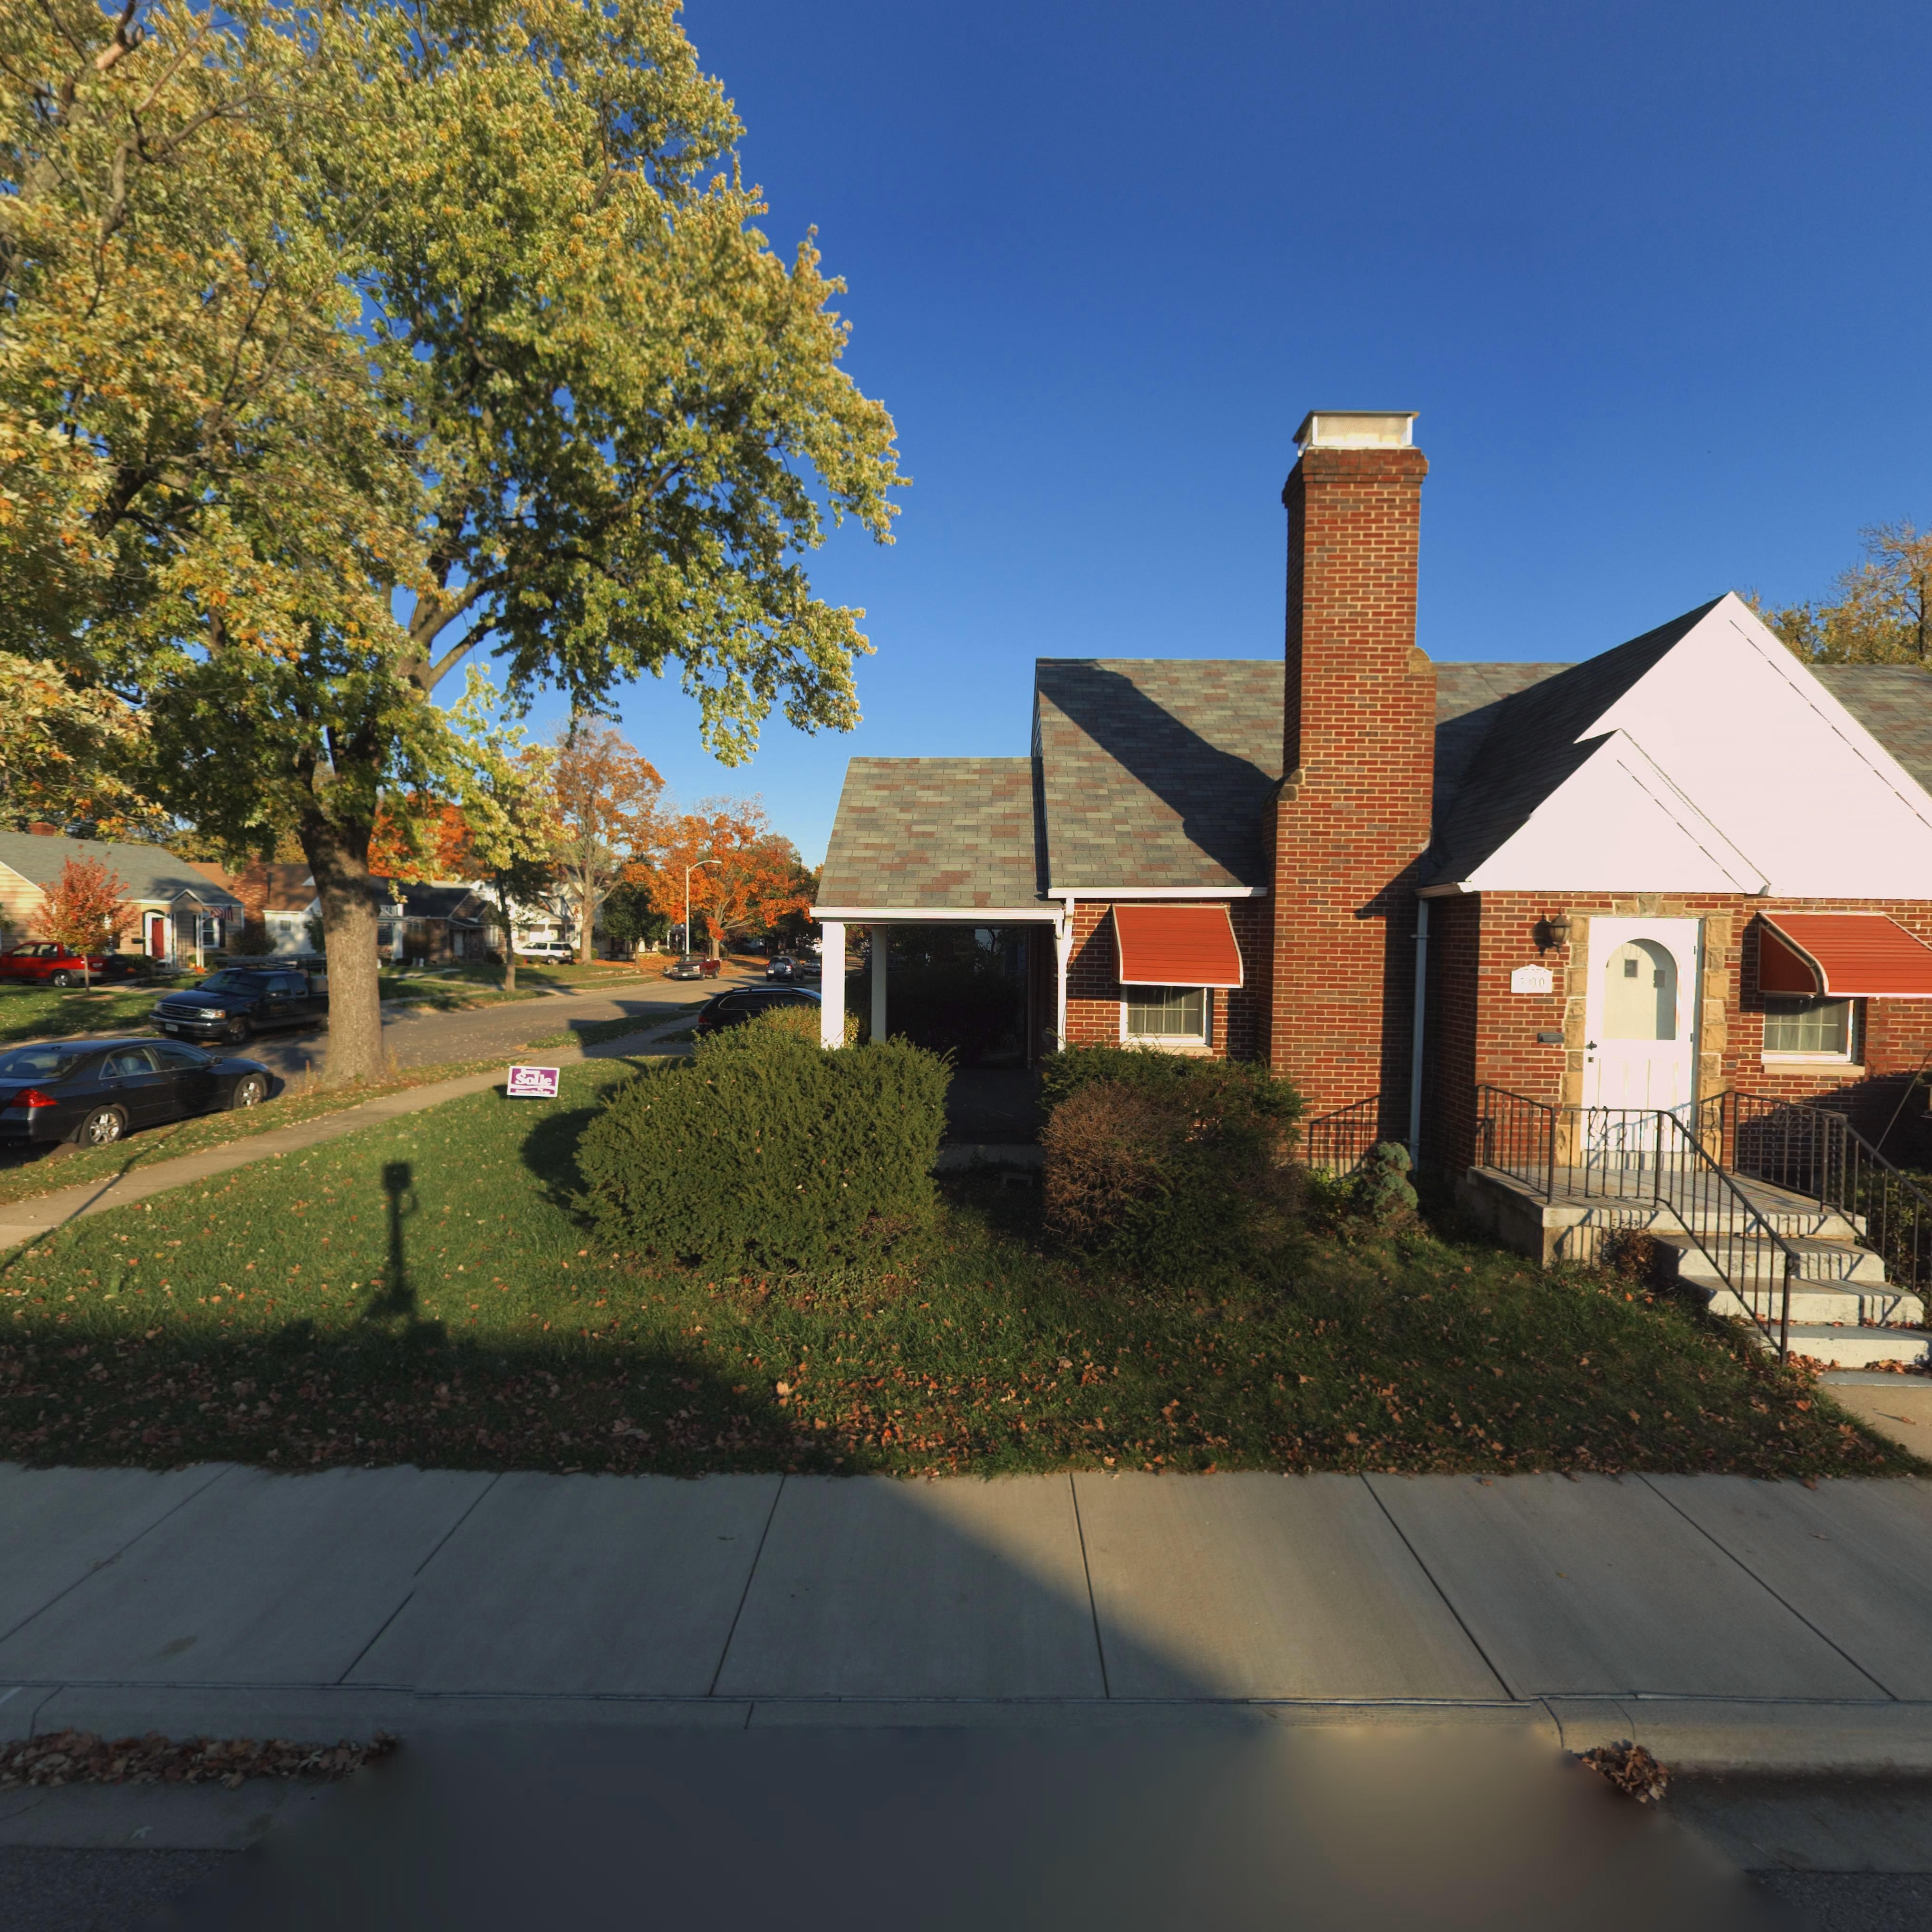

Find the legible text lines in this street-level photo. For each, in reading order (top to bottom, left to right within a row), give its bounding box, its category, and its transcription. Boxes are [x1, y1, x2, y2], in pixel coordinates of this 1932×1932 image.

[1517, 976, 1545, 988] StreetNumber: ***0